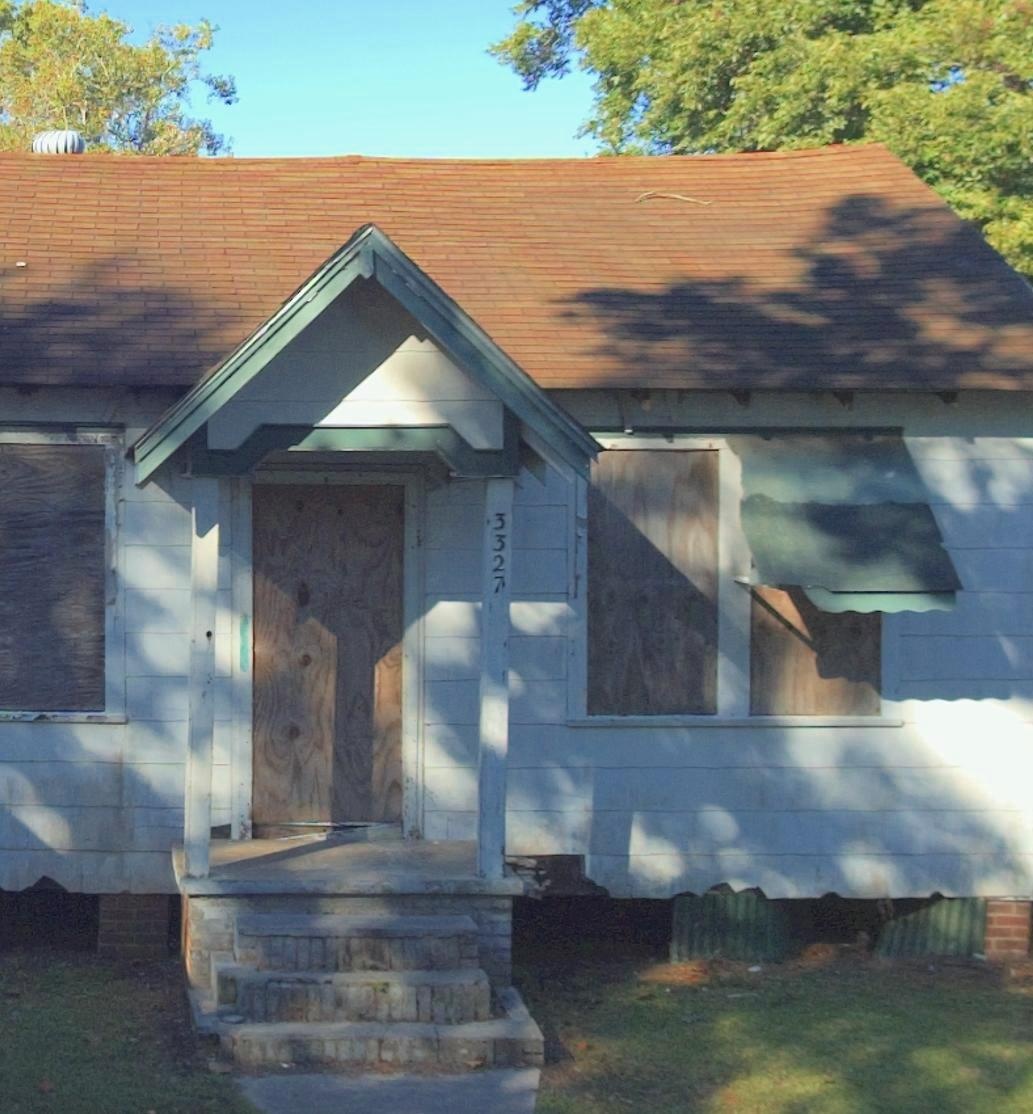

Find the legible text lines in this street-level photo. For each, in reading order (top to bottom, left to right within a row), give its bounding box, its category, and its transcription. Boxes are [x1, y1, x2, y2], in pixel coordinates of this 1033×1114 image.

[490, 509, 509, 596] StreetNumber: 3327